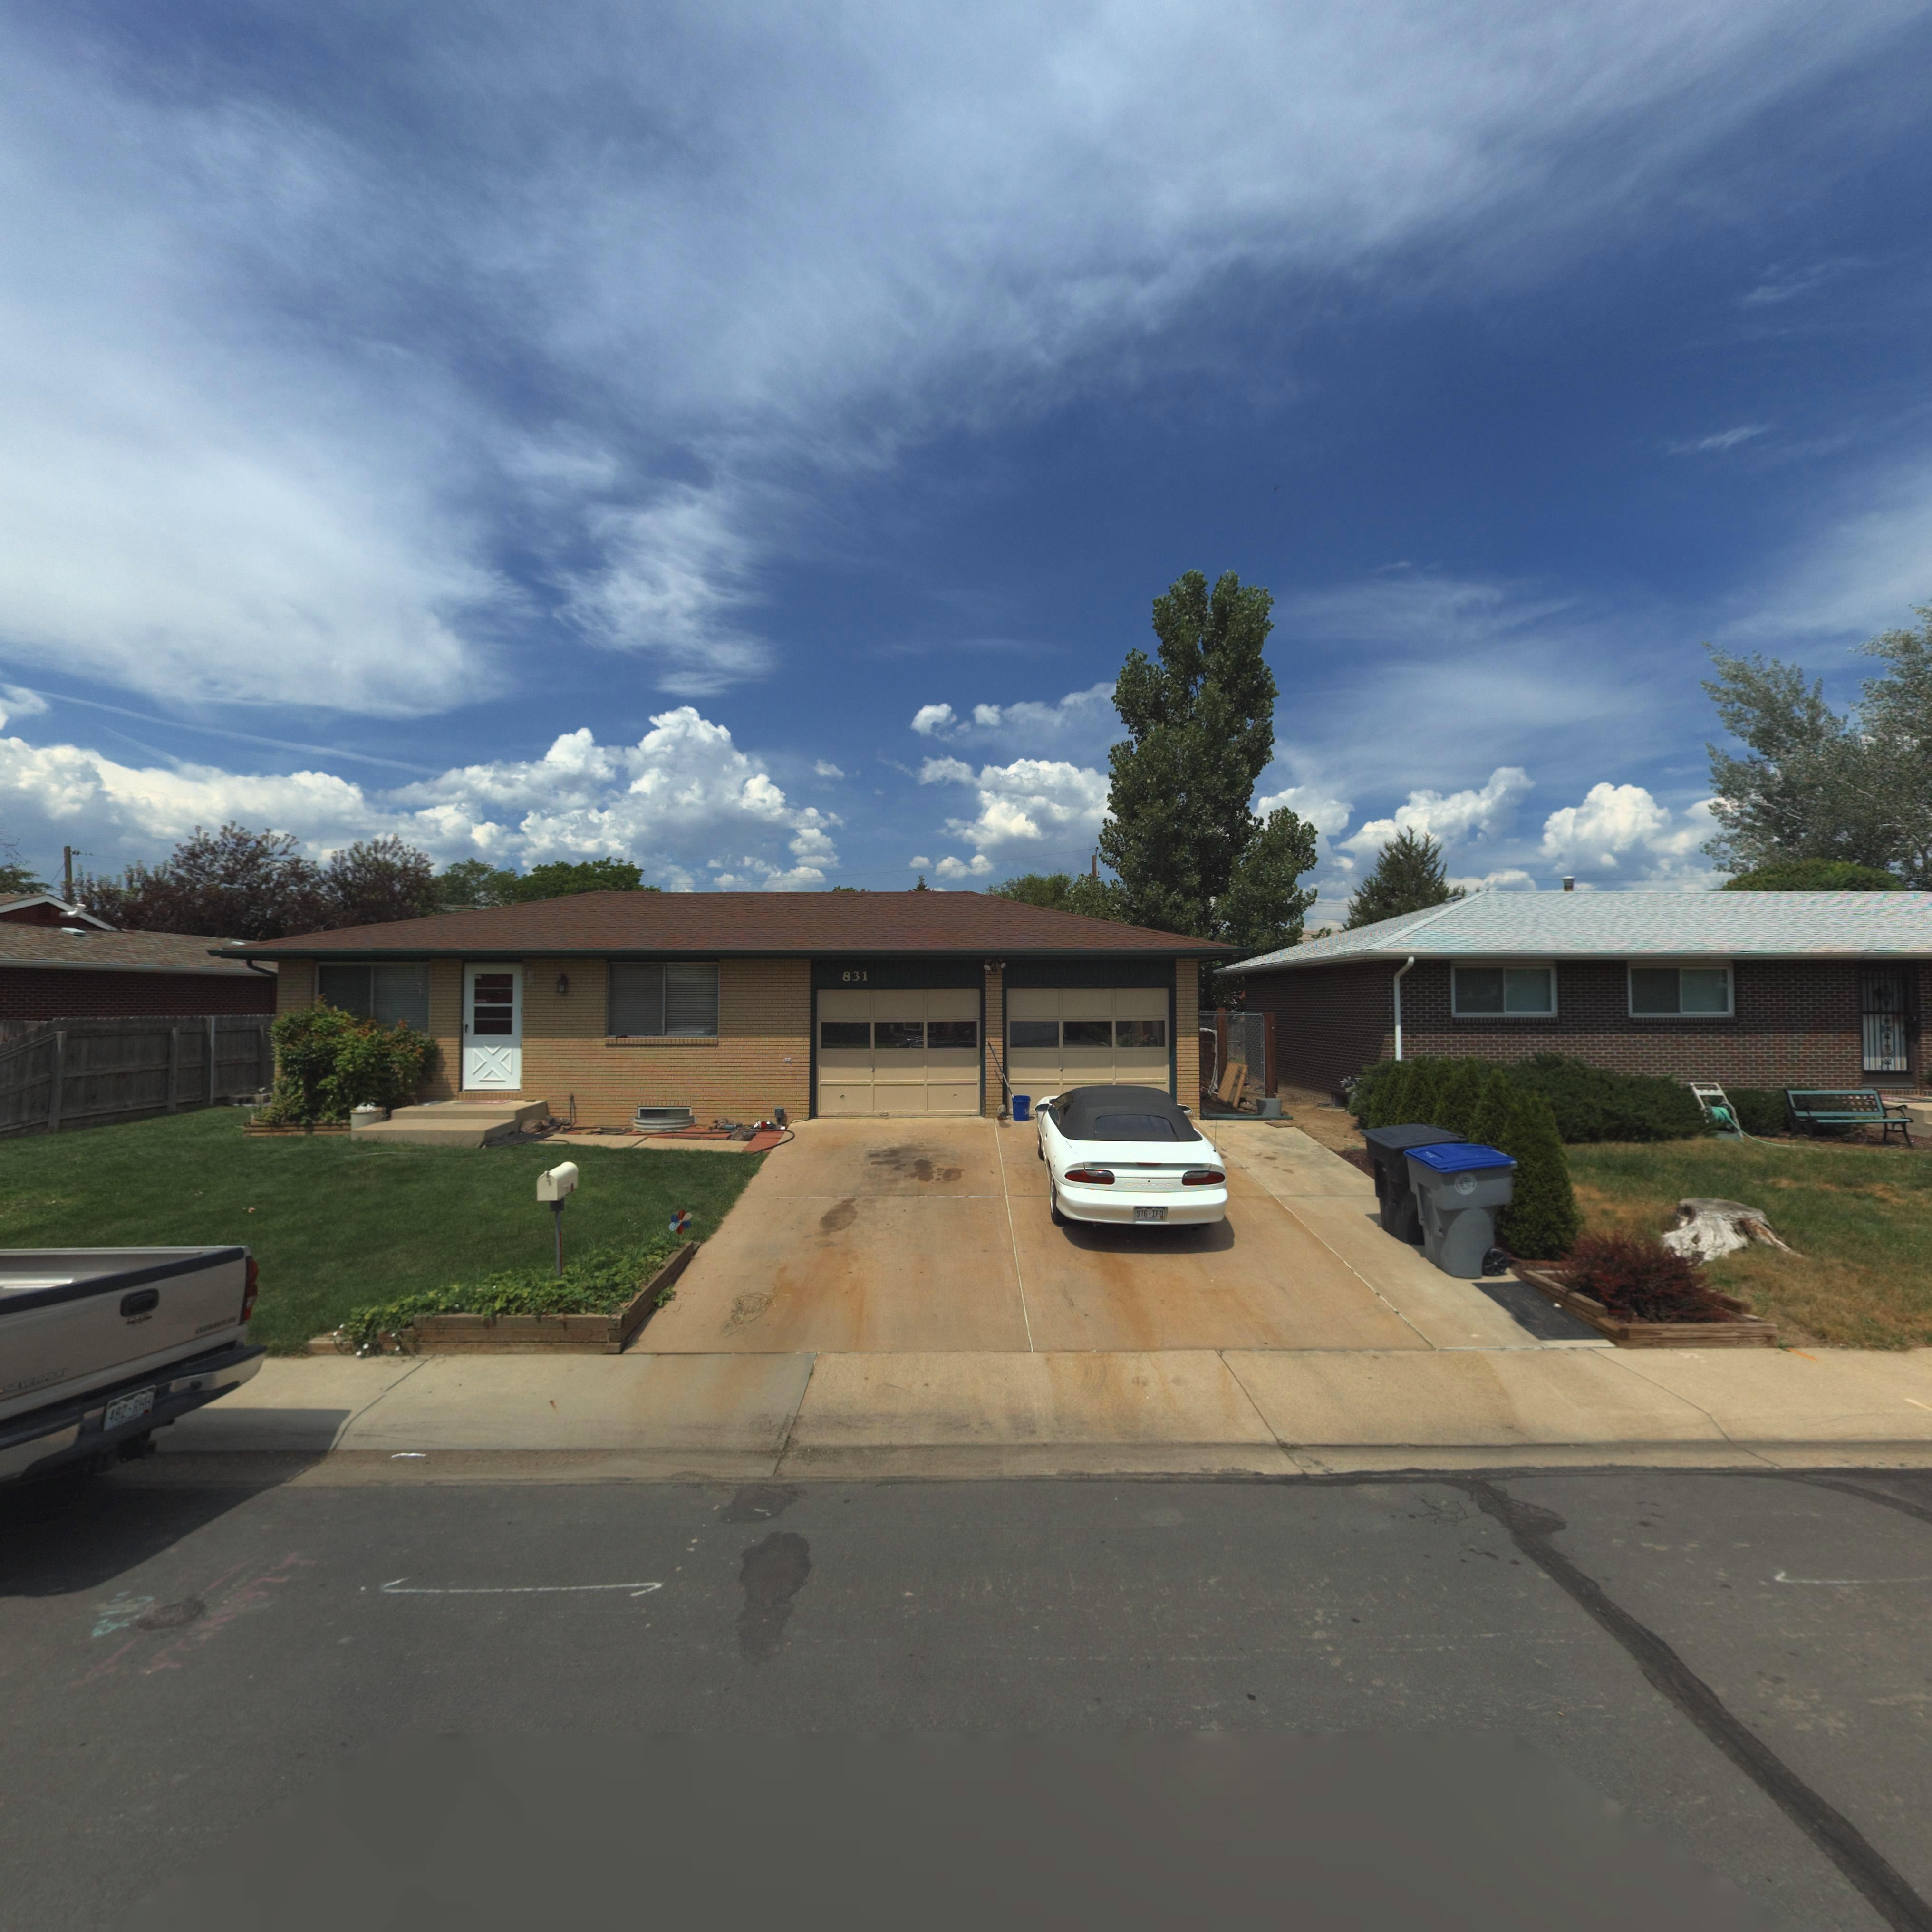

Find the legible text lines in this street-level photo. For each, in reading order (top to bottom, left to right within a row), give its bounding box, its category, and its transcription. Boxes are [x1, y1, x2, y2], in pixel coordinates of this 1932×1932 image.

[842, 970, 868, 981] StreetNumber: 831